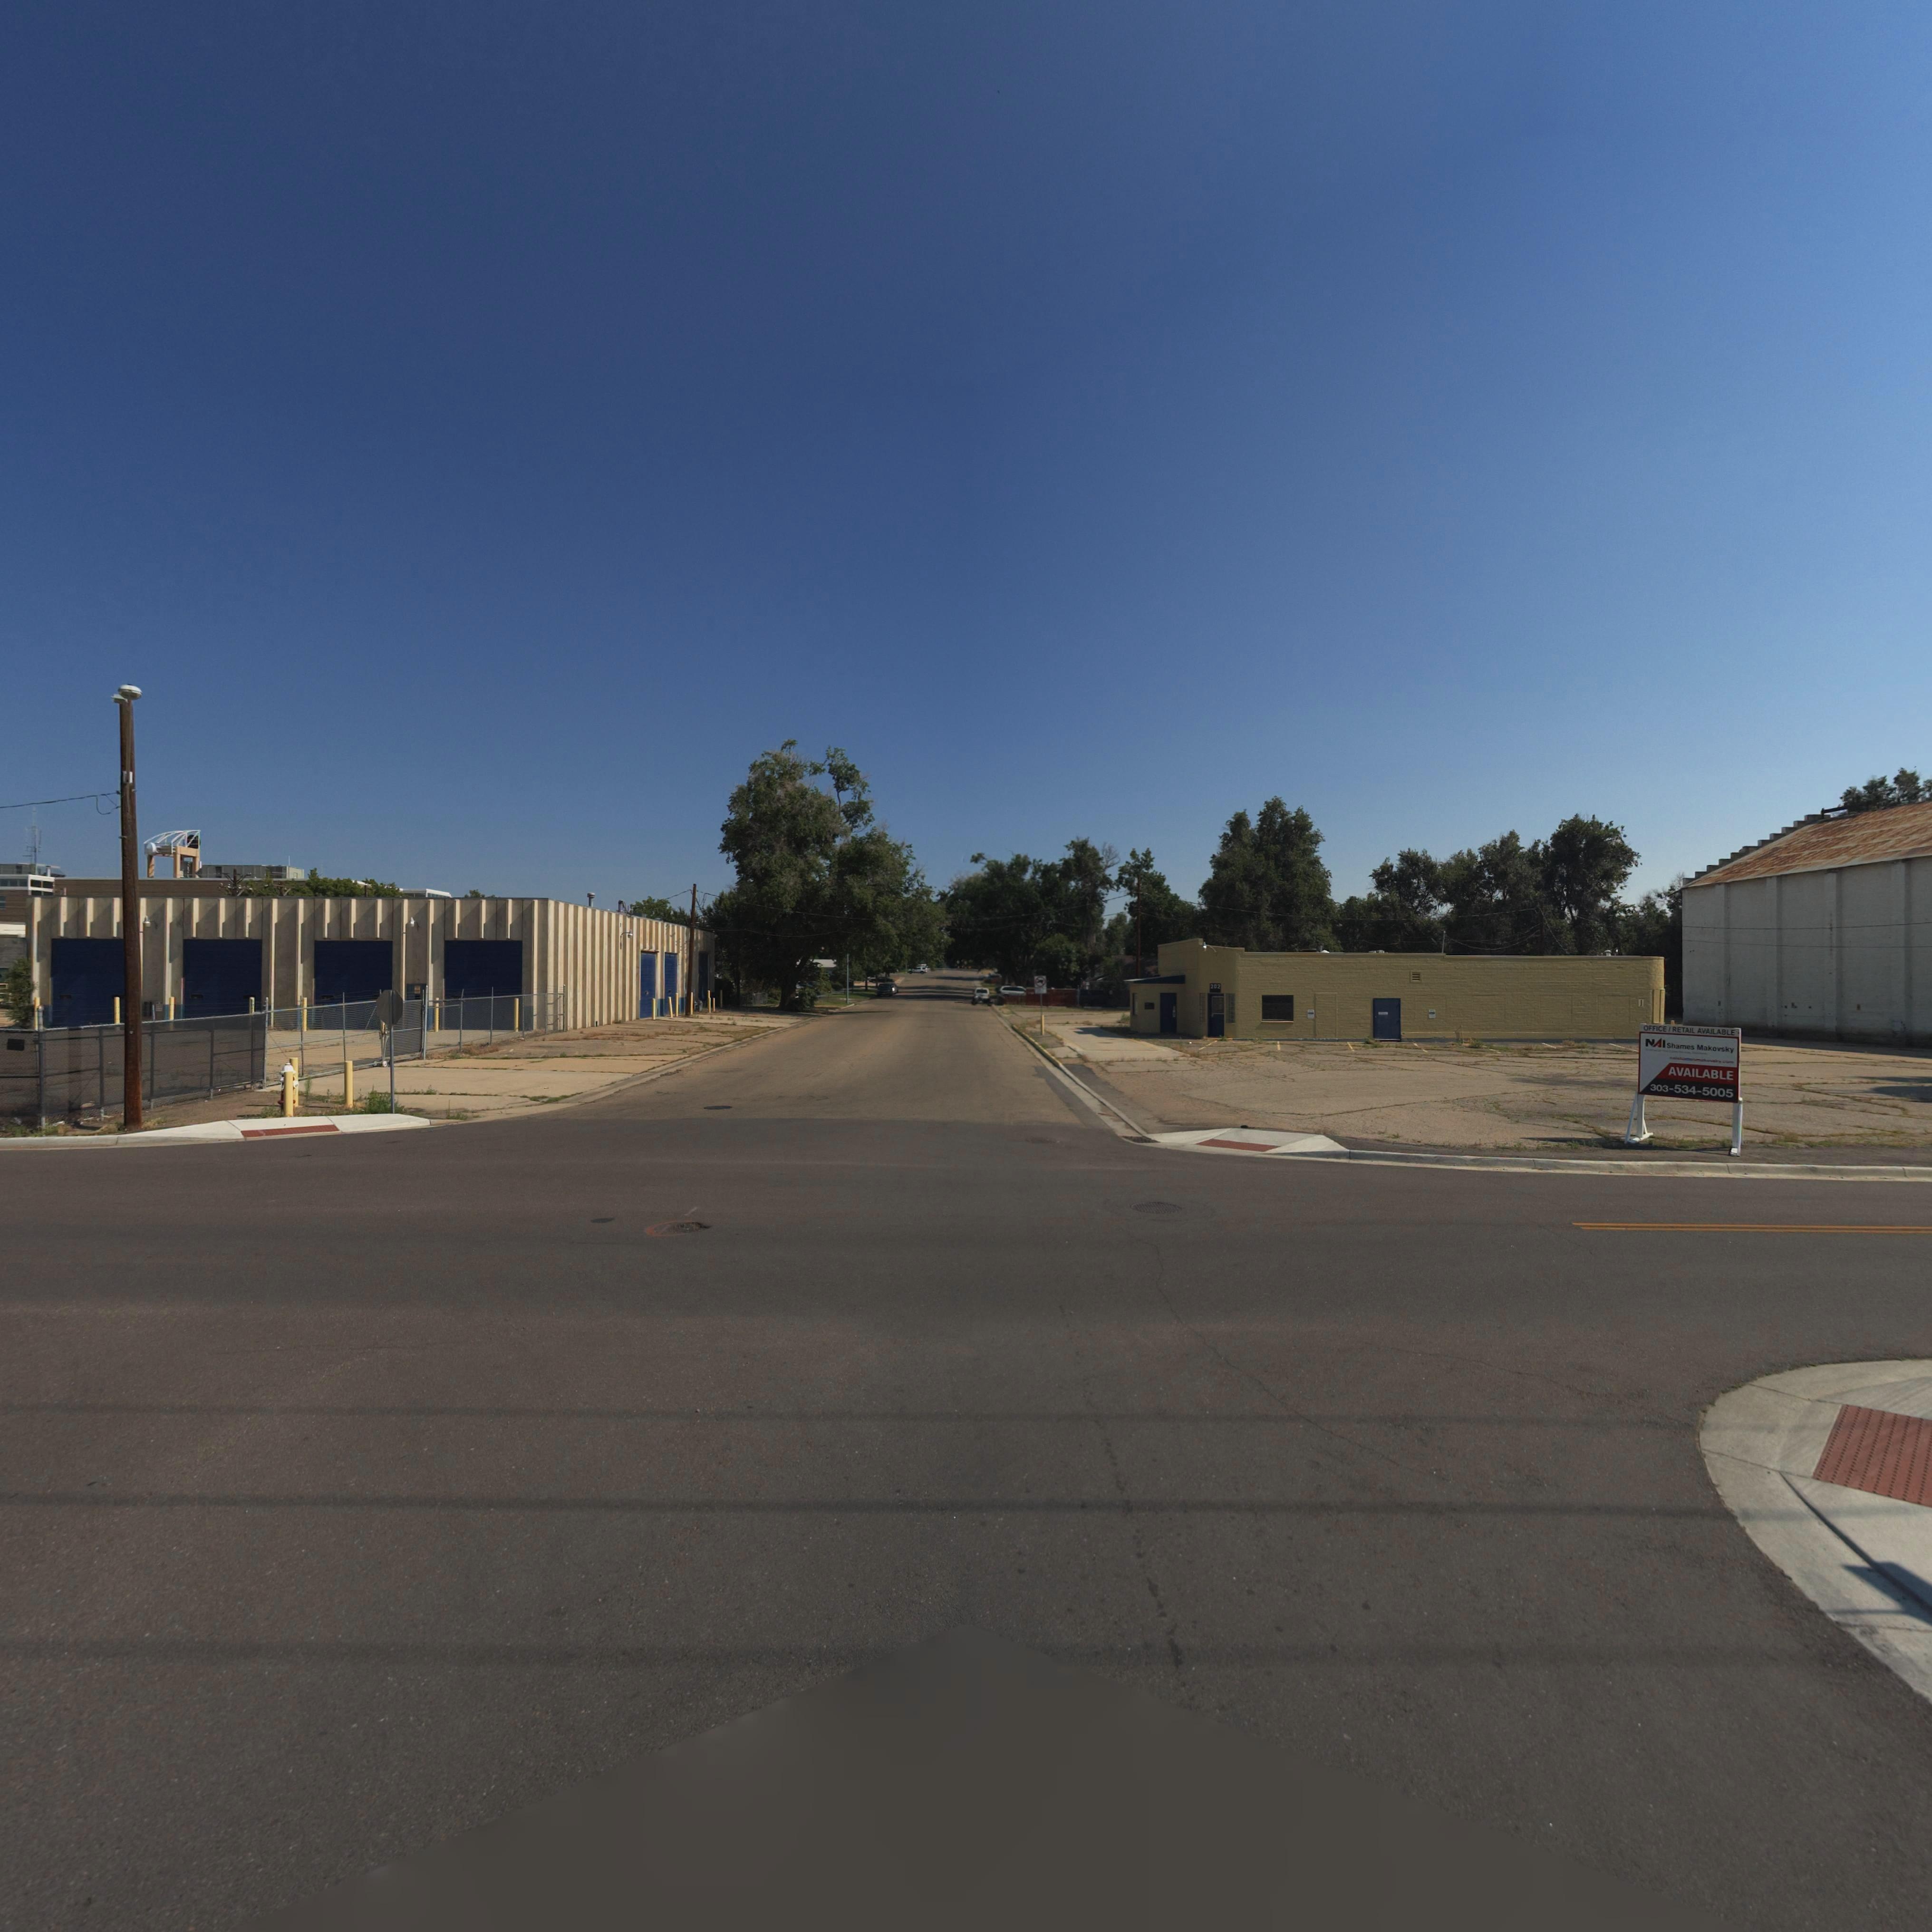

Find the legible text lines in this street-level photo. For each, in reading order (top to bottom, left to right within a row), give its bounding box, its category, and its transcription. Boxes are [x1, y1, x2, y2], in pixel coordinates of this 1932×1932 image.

[1210, 984, 1220, 988] StreetNumber: 202